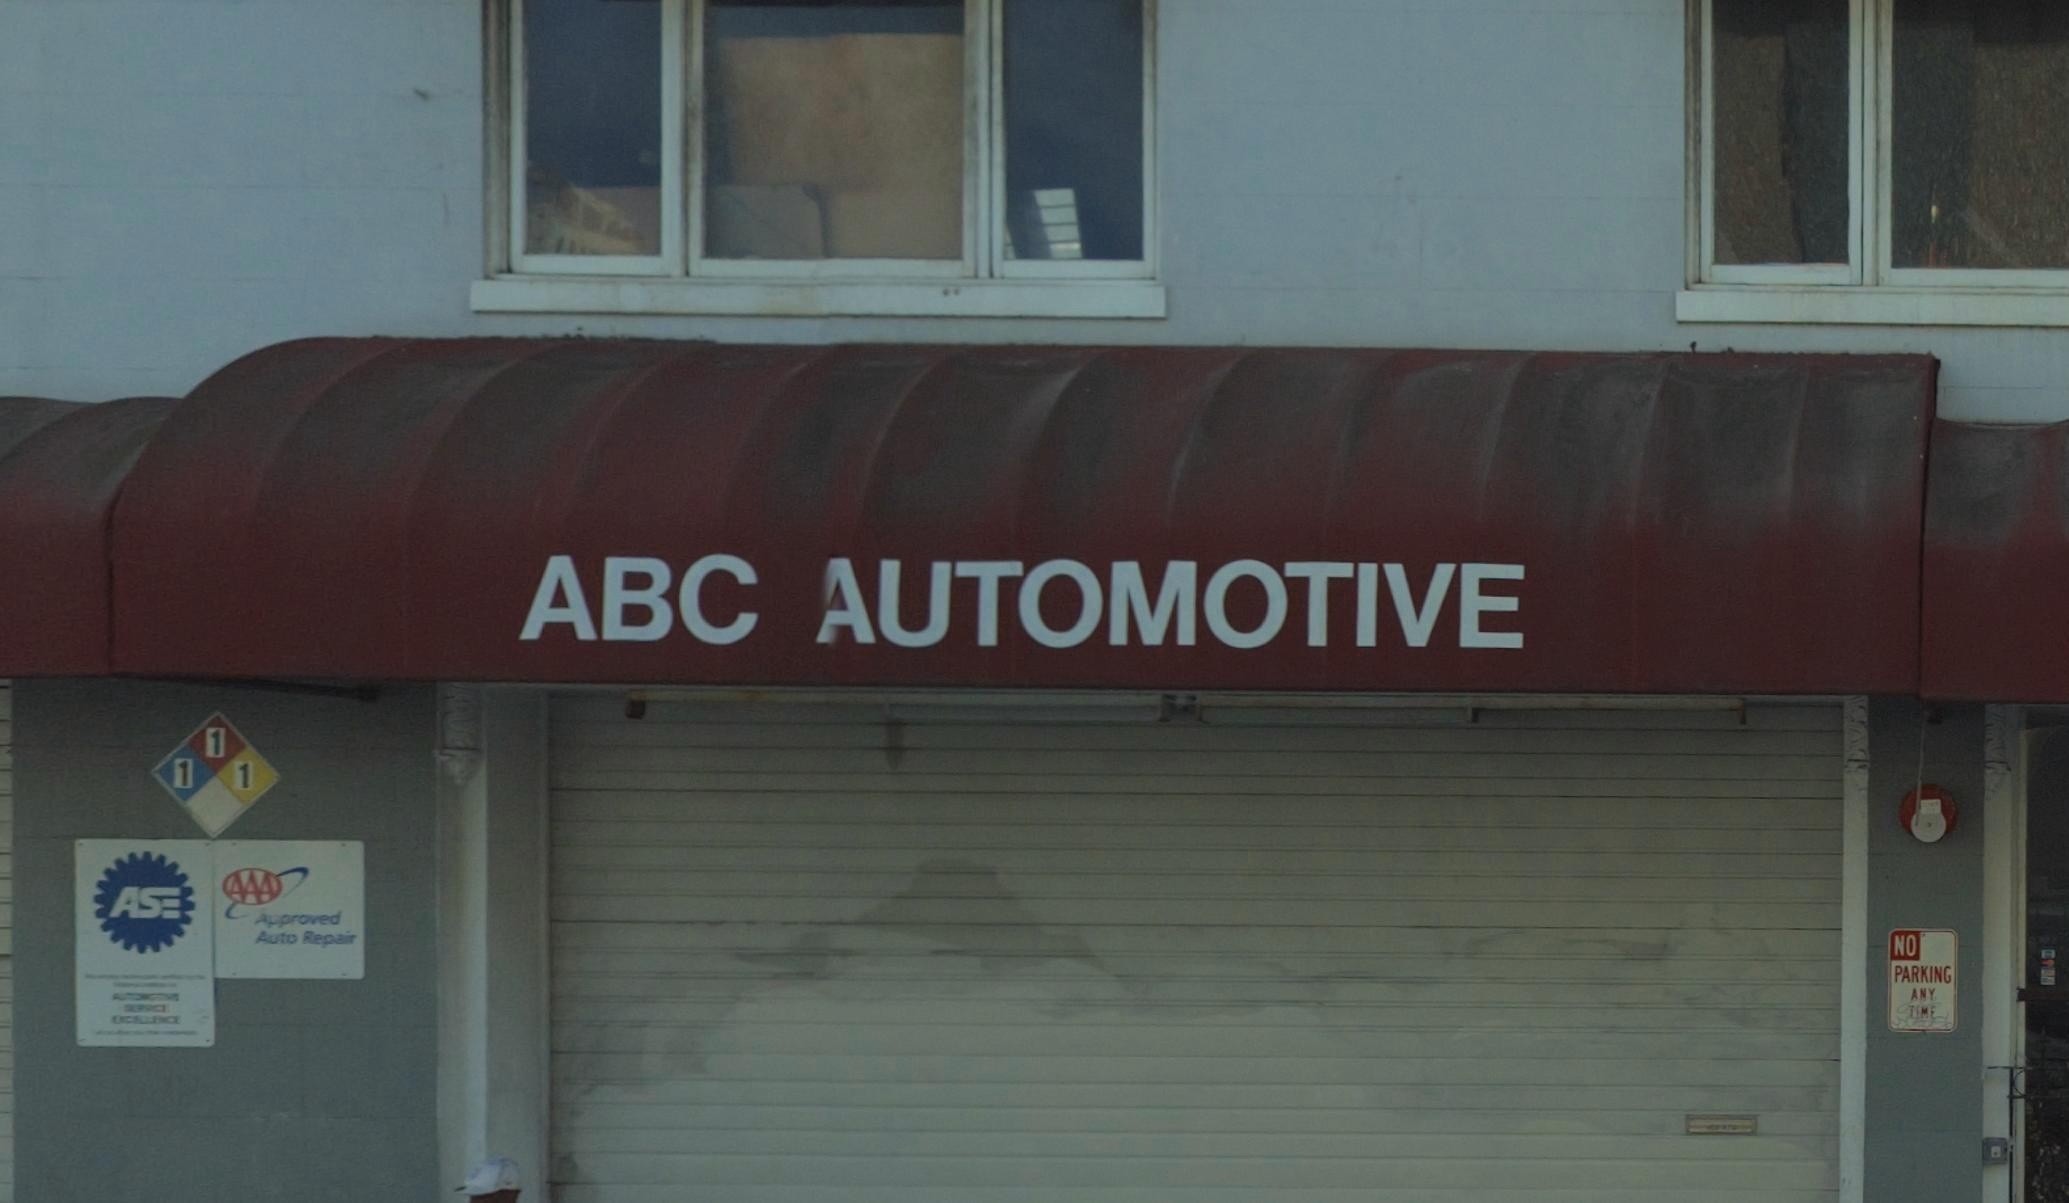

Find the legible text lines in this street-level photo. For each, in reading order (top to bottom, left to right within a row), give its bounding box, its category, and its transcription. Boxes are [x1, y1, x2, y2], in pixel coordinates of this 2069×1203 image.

[512, 551, 1529, 655] BusinessName: ABC *UTOMOTIVE
[208, 725, 225, 760] None: 1
[176, 756, 192, 790] None: 1
[234, 758, 253, 793] None: 1
[103, 881, 186, 923] None: AS*
[223, 865, 280, 906] None: AAA
[275, 906, 347, 934] None: proved
[249, 925, 362, 953] None: Auto Repair
[1892, 931, 1918, 959] None: NO
[1891, 962, 1954, 987] None: PARKING
[1906, 985, 1938, 1004] None: ANY